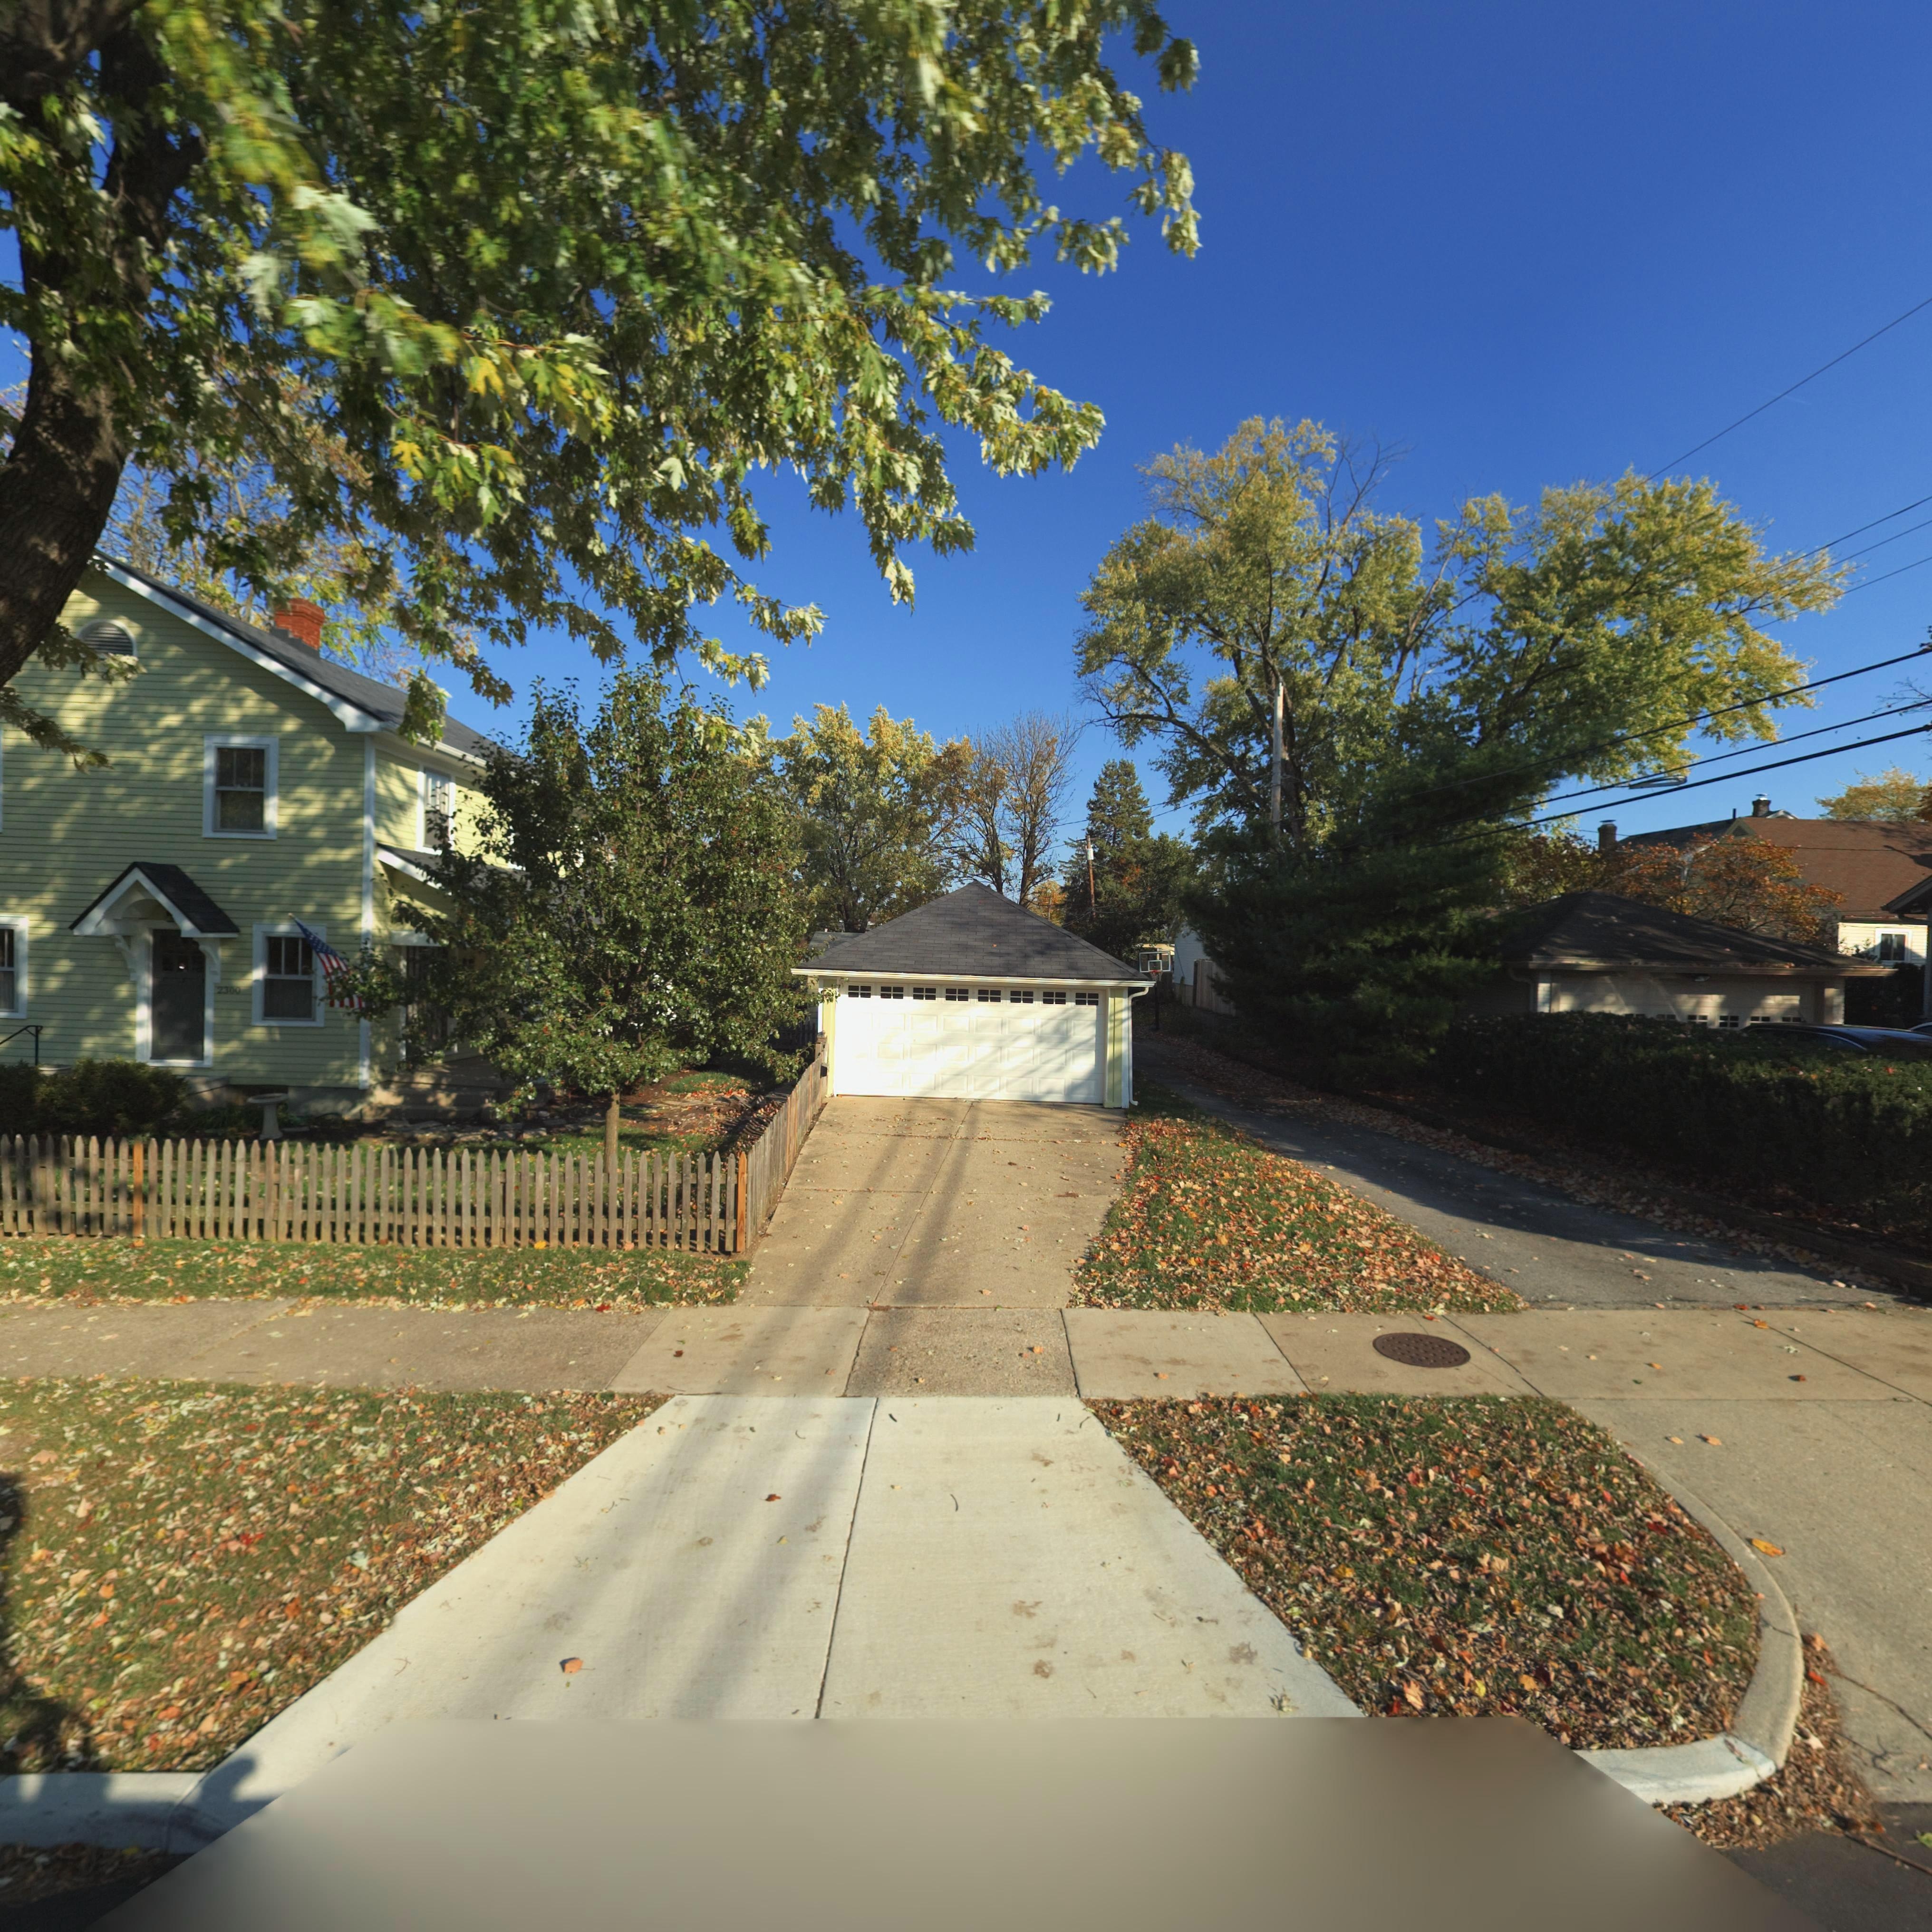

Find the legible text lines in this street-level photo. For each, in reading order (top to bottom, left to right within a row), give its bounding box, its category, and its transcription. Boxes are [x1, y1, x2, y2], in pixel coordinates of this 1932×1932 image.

[216, 985, 242, 995] StreetNumber: 2300